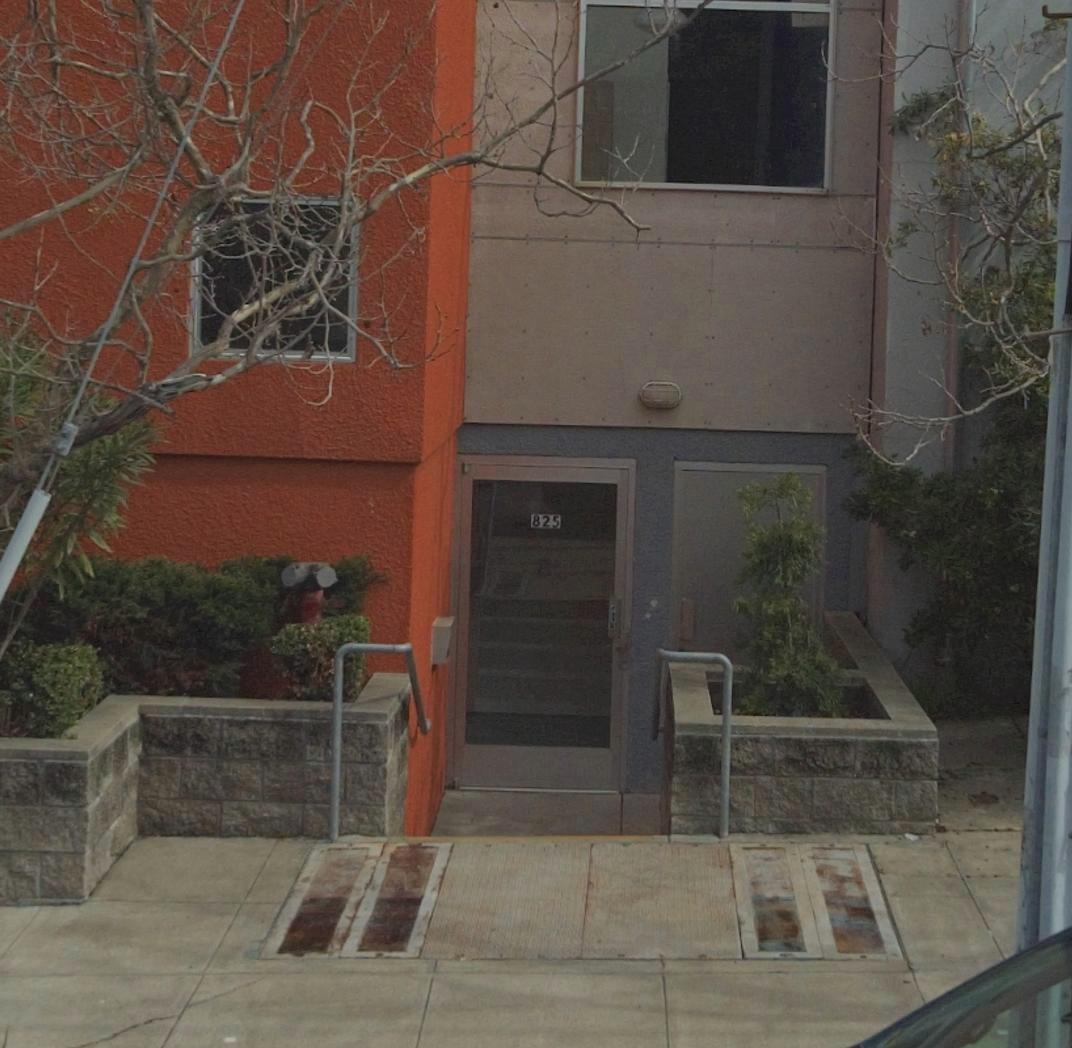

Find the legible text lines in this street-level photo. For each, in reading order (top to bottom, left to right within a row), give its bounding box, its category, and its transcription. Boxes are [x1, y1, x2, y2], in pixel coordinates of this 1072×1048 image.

[530, 513, 561, 530] StreetNumber: 825